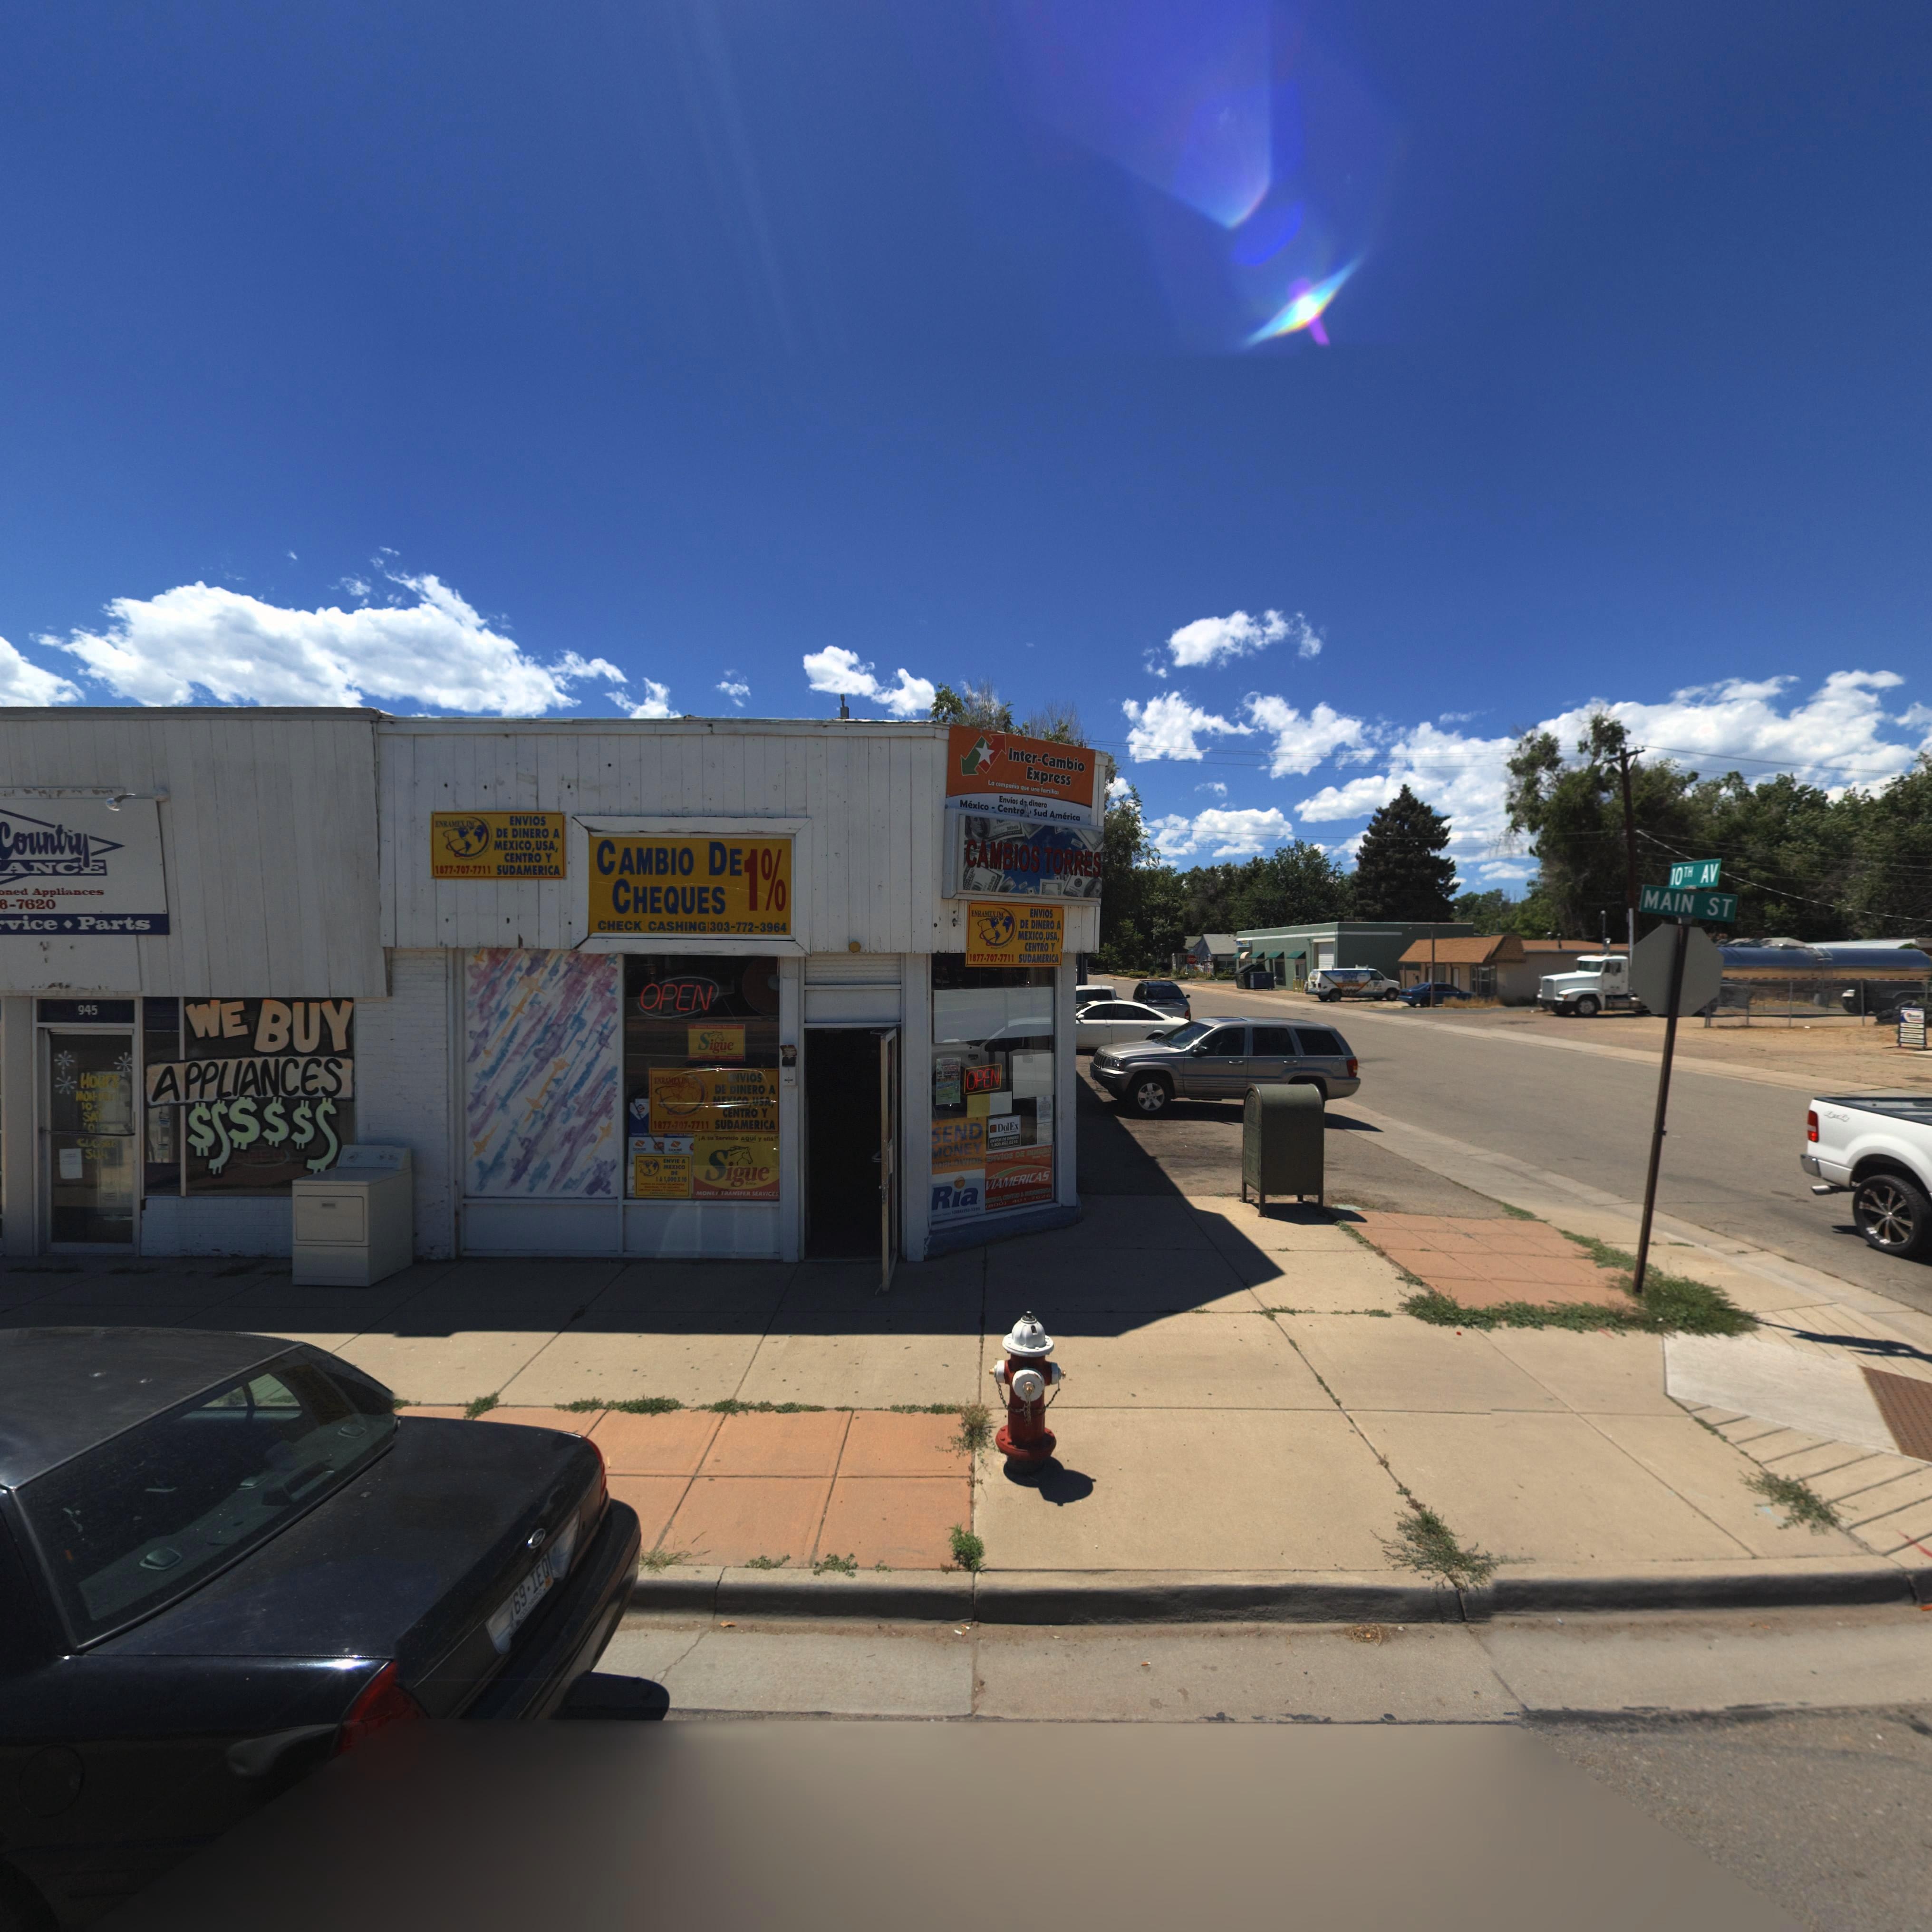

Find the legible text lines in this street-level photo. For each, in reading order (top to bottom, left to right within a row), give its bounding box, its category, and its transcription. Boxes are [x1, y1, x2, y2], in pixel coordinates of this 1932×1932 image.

[12, 823, 90, 868] BusinessName: ountry
[1, 861, 105, 874] BusinessName: ANCE
[966, 839, 1101, 878] BusinessName: CAMBIOS TORRES
[1670, 863, 1719, 885] StreetName: 10TH AV
[1643, 888, 1733, 918] StreetName: MAIN ST
[78, 1004, 98, 1015] StreetNumber: 945